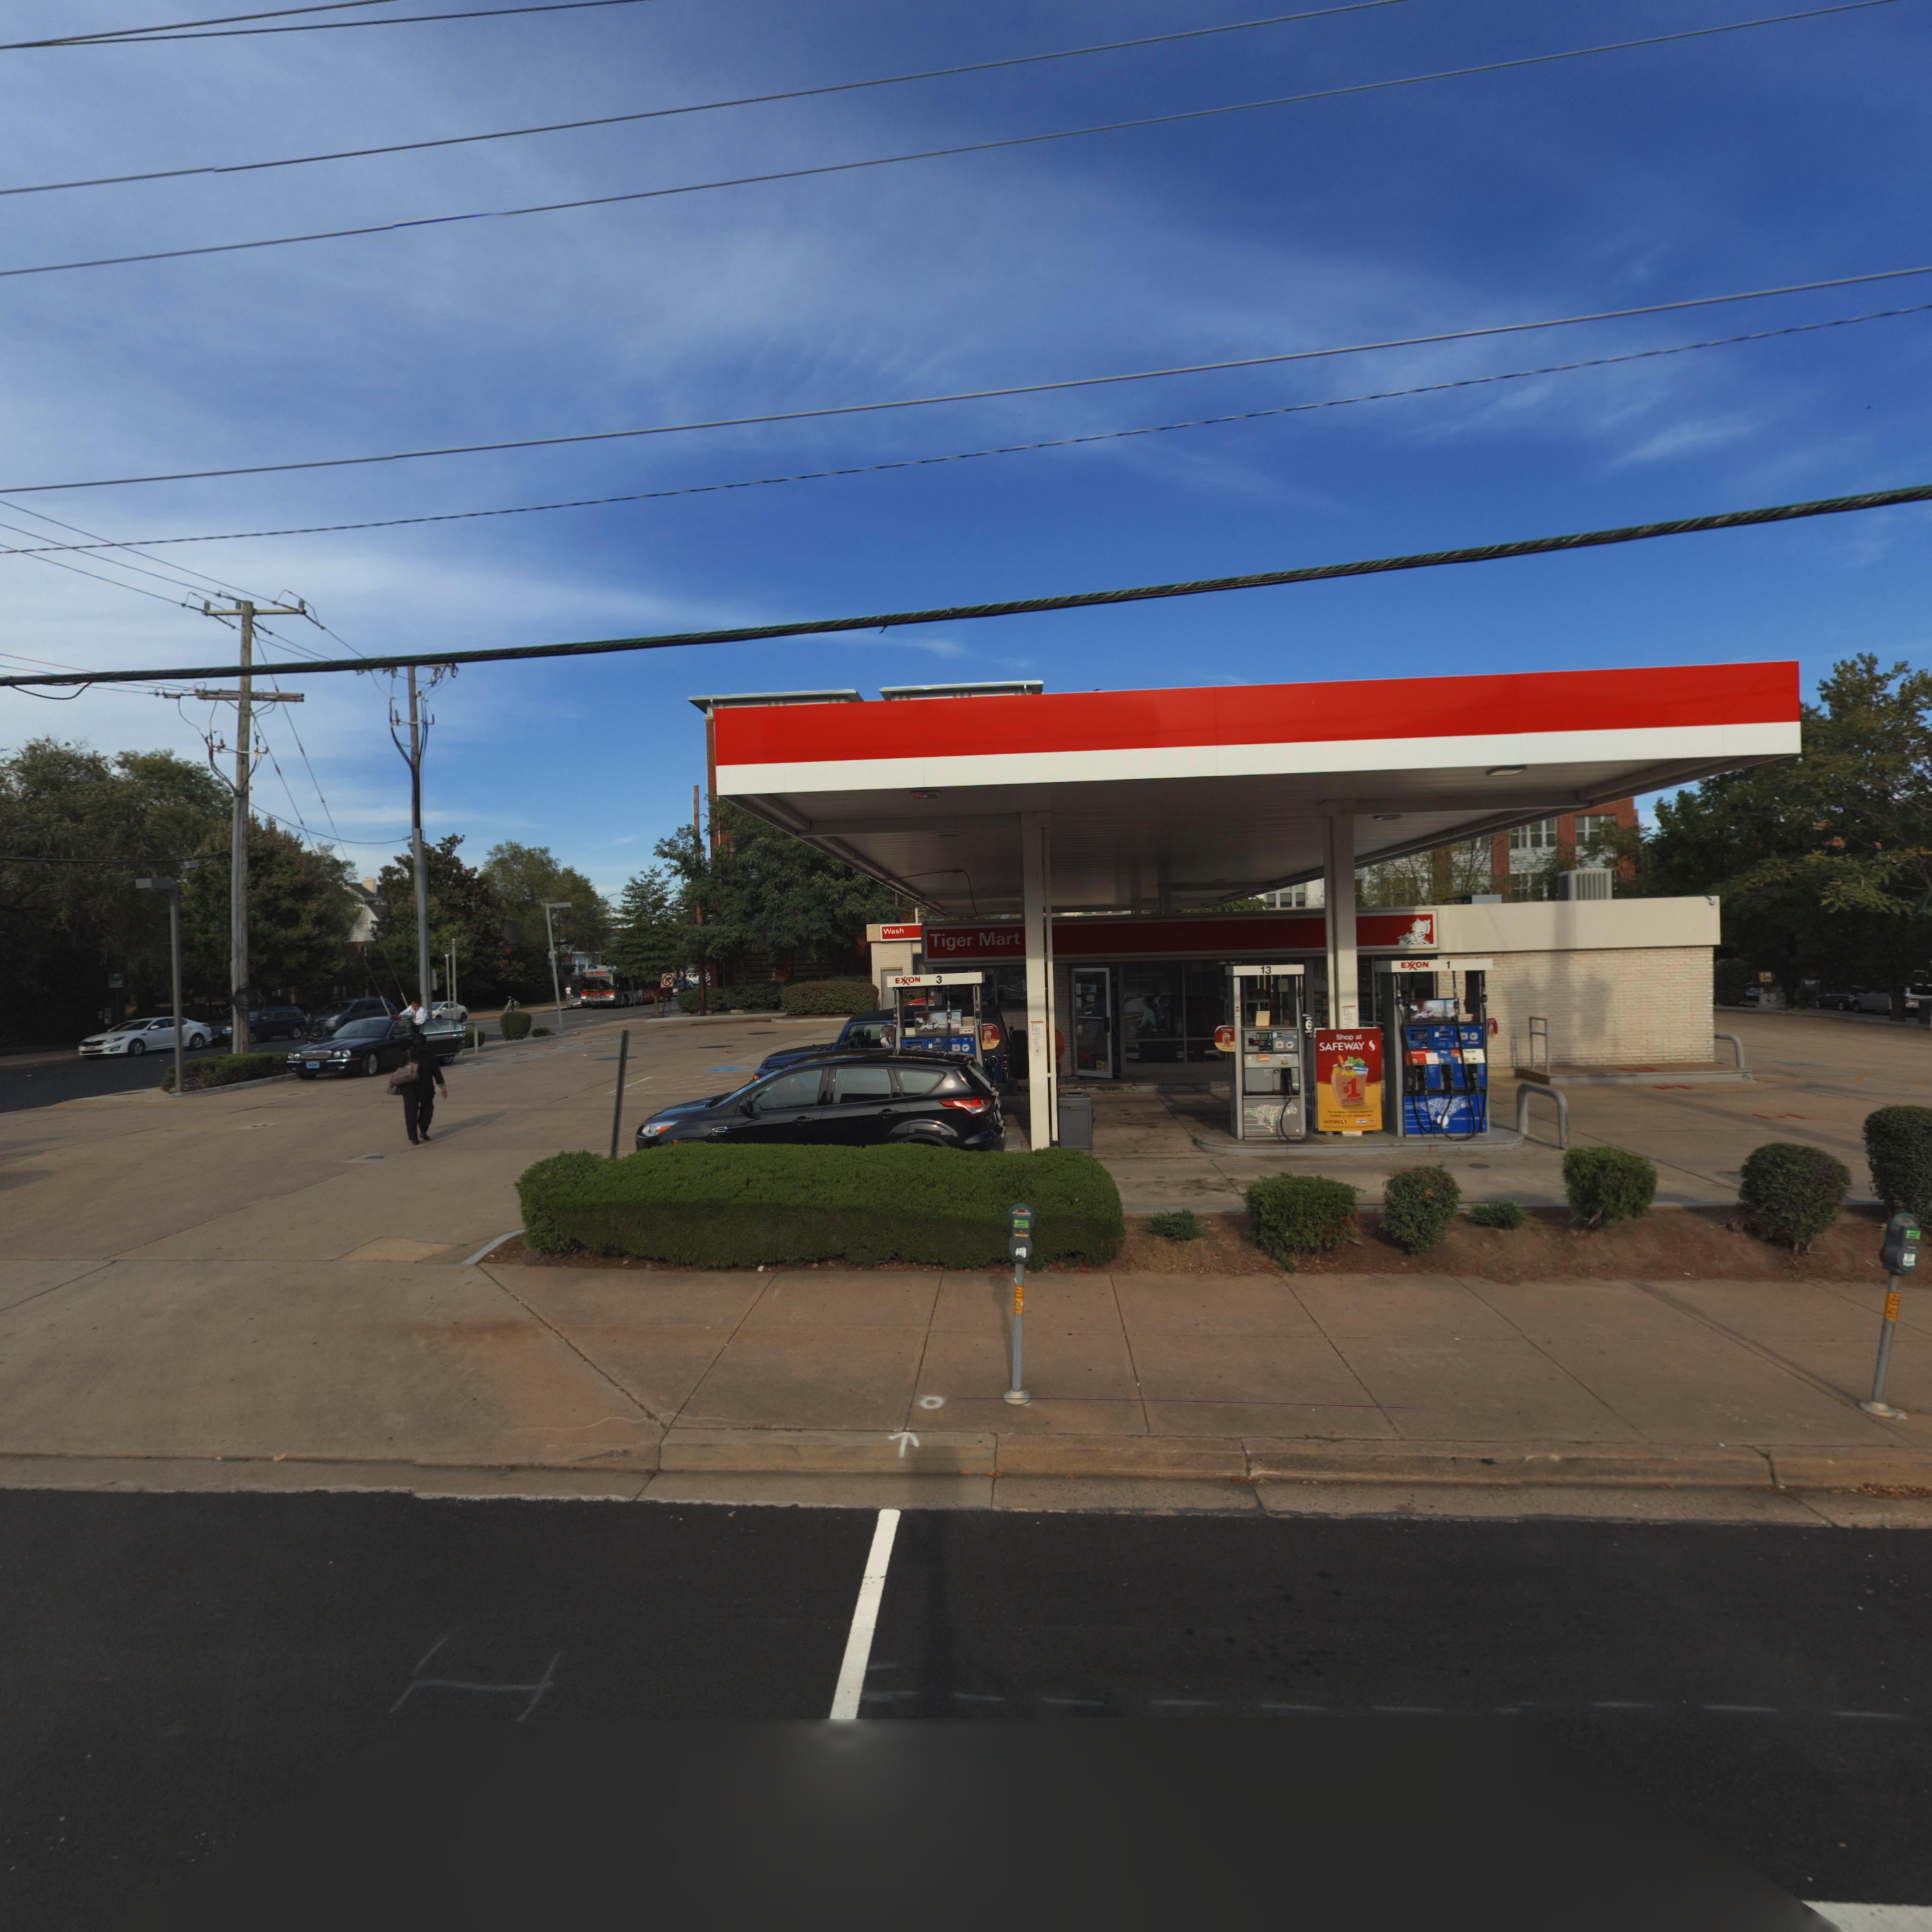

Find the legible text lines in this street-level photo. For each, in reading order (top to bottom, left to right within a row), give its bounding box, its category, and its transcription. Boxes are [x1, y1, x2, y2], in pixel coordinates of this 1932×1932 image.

[882, 927, 904, 935] None: Wash
[929, 932, 1021, 952] None: Tiger Mart
[1260, 966, 1271, 975] None: 13
[1401, 961, 1429, 971] BusinessName: E*ON
[1446, 960, 1451, 970] None: 1
[895, 976, 920, 986] BusinessName: E*ON
[936, 975, 942, 984] None: 3
[1304, 1019, 1312, 1031] None: 6
[1335, 1033, 1362, 1042] None: Shop at
[1319, 1042, 1365, 1051] None: SAFEWAY
[1347, 1077, 1361, 1098] None: 1